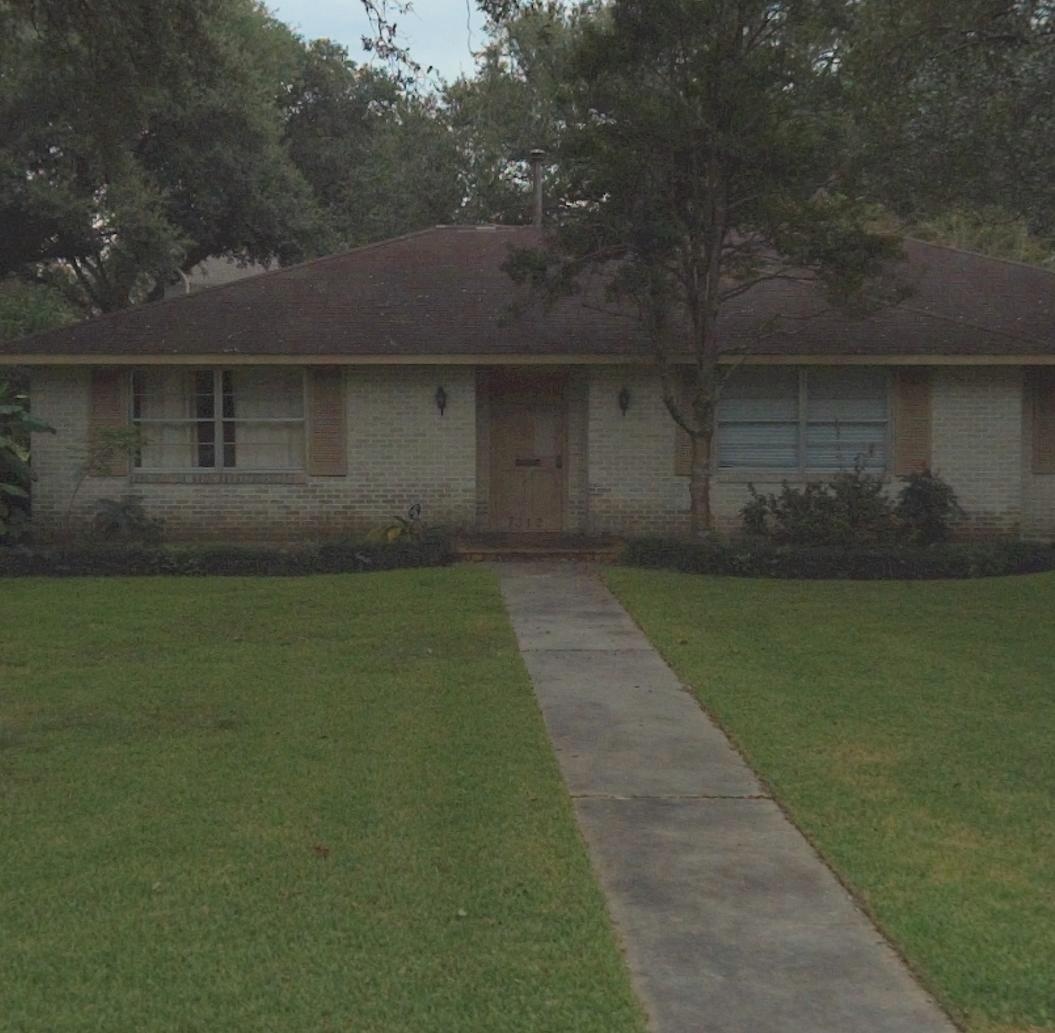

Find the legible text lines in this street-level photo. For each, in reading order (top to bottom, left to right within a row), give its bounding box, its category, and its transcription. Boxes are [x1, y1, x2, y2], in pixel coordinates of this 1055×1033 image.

[508, 516, 545, 528] StreetNumber: 7312